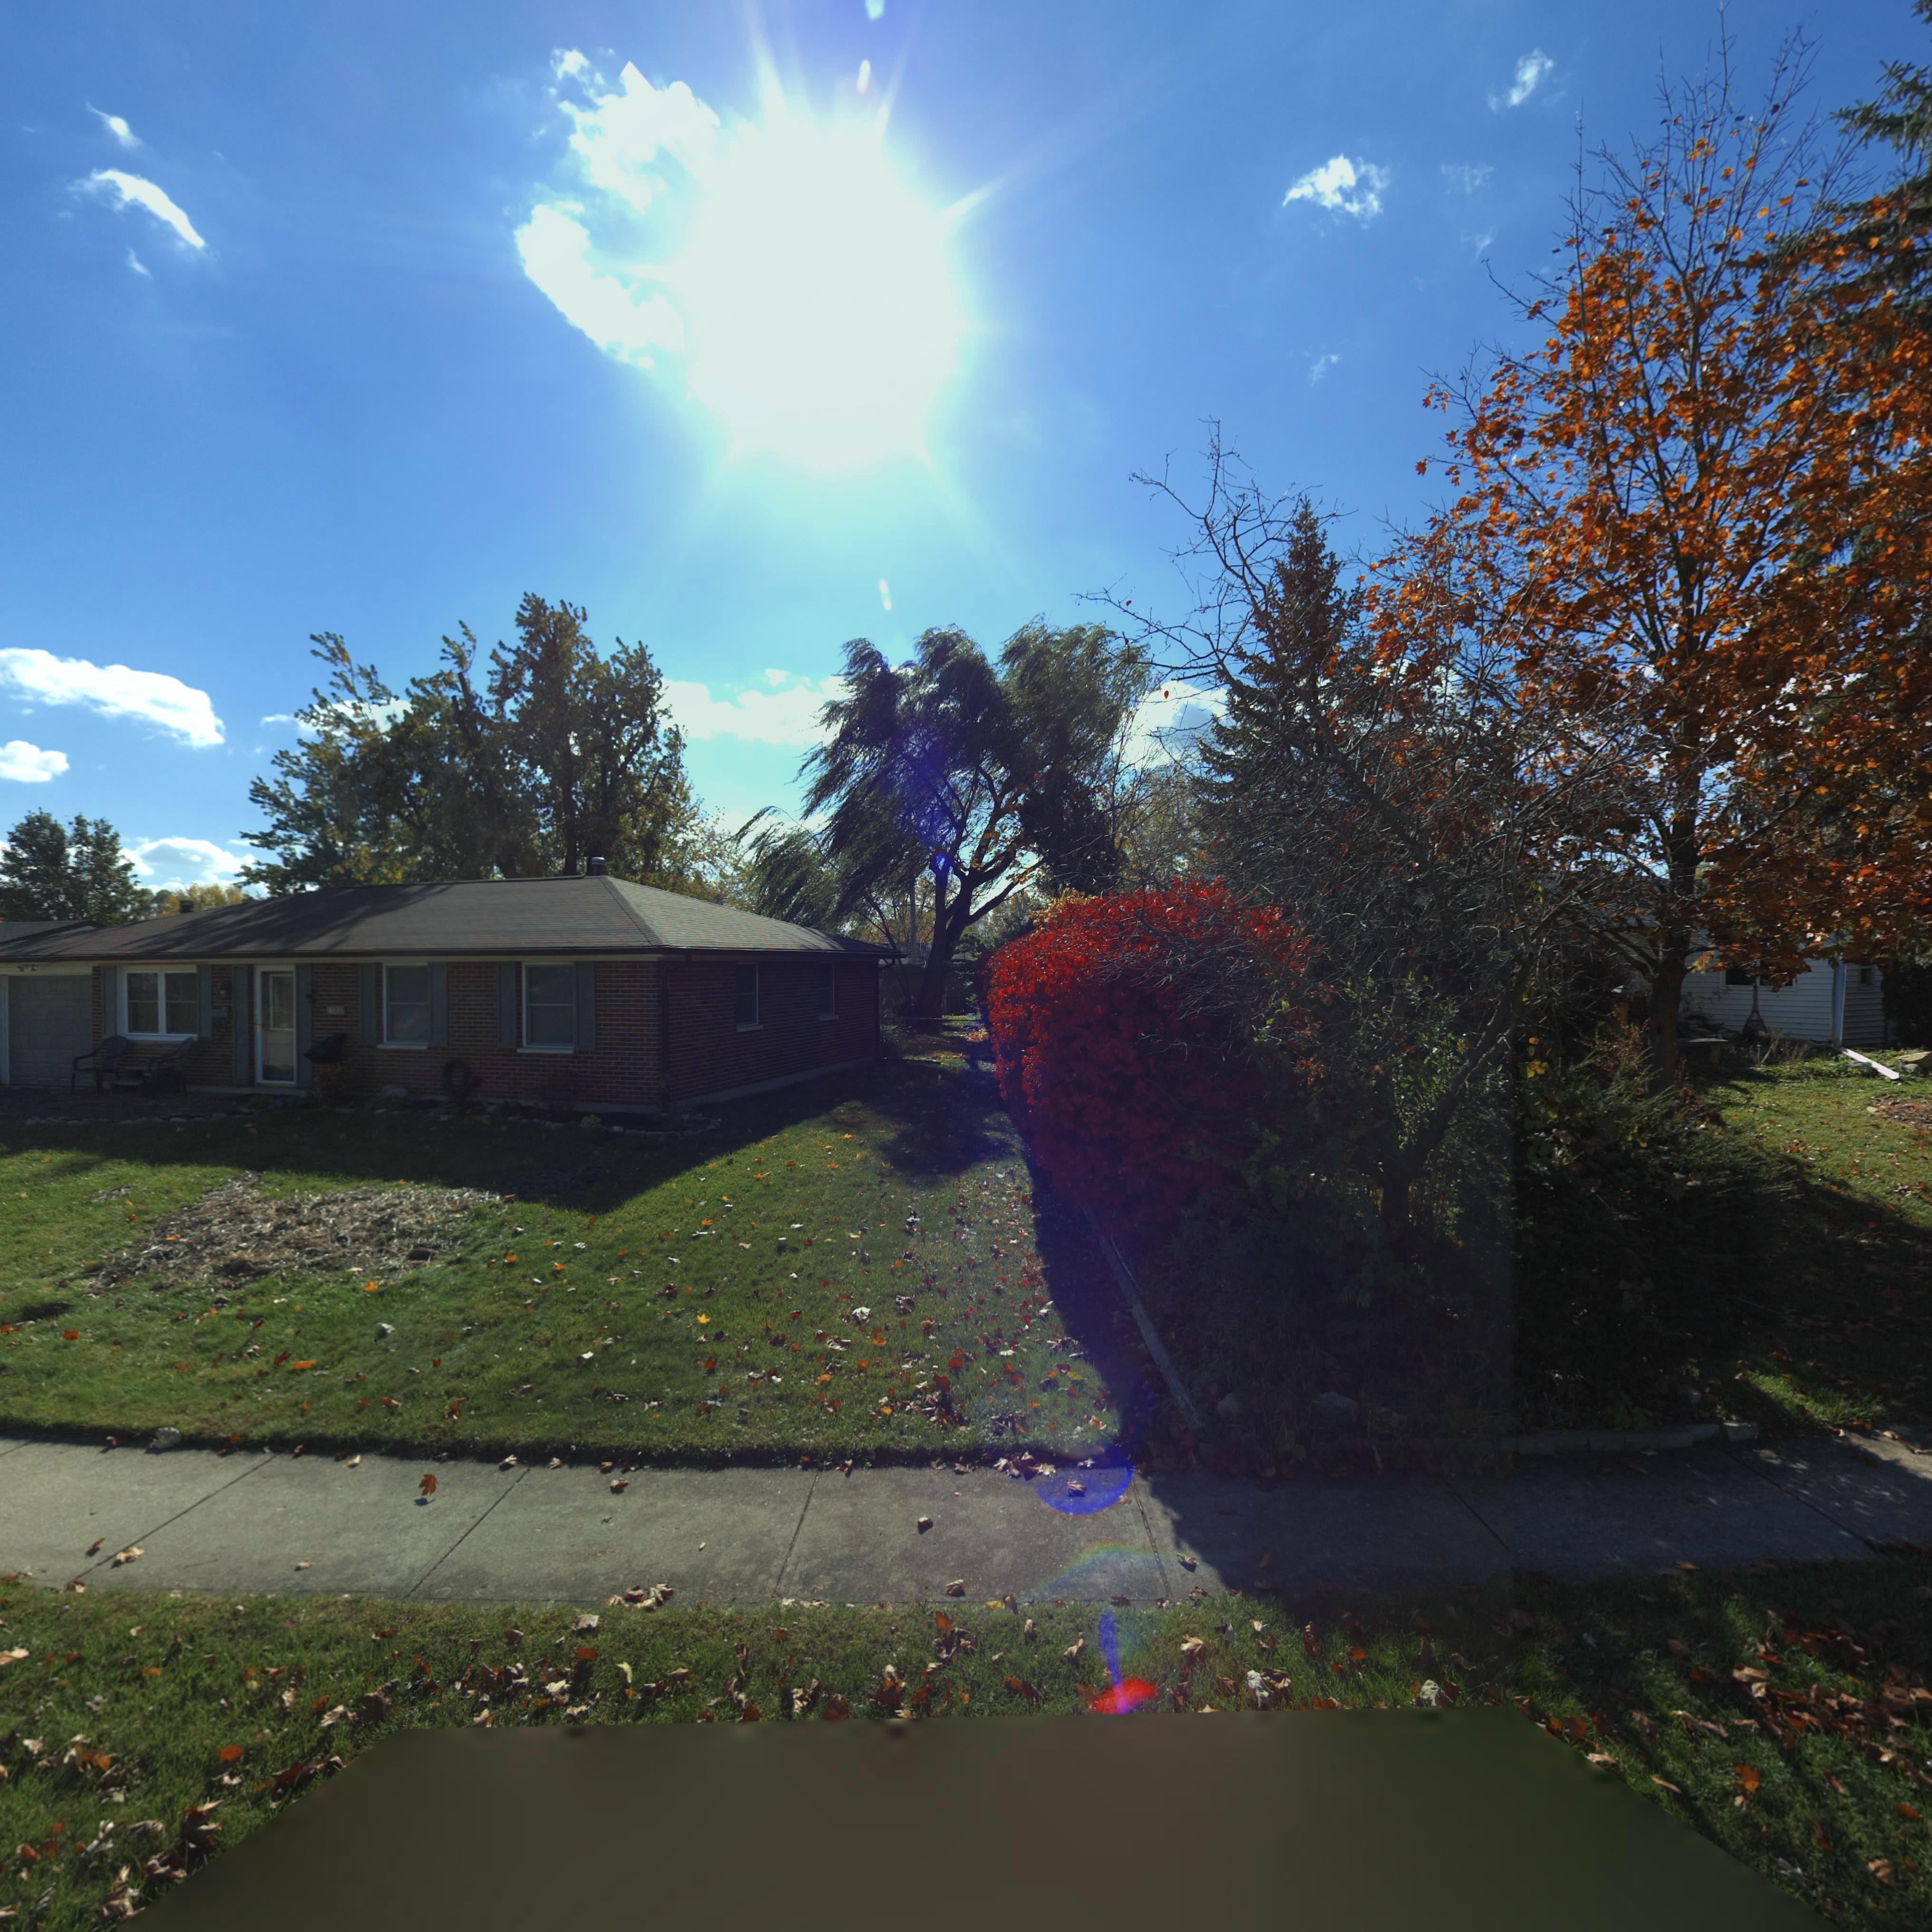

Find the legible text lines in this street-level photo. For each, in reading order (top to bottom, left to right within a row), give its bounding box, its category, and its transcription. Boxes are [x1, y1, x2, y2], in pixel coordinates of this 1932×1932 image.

[329, 1006, 345, 1014] StreetNumber: 6***